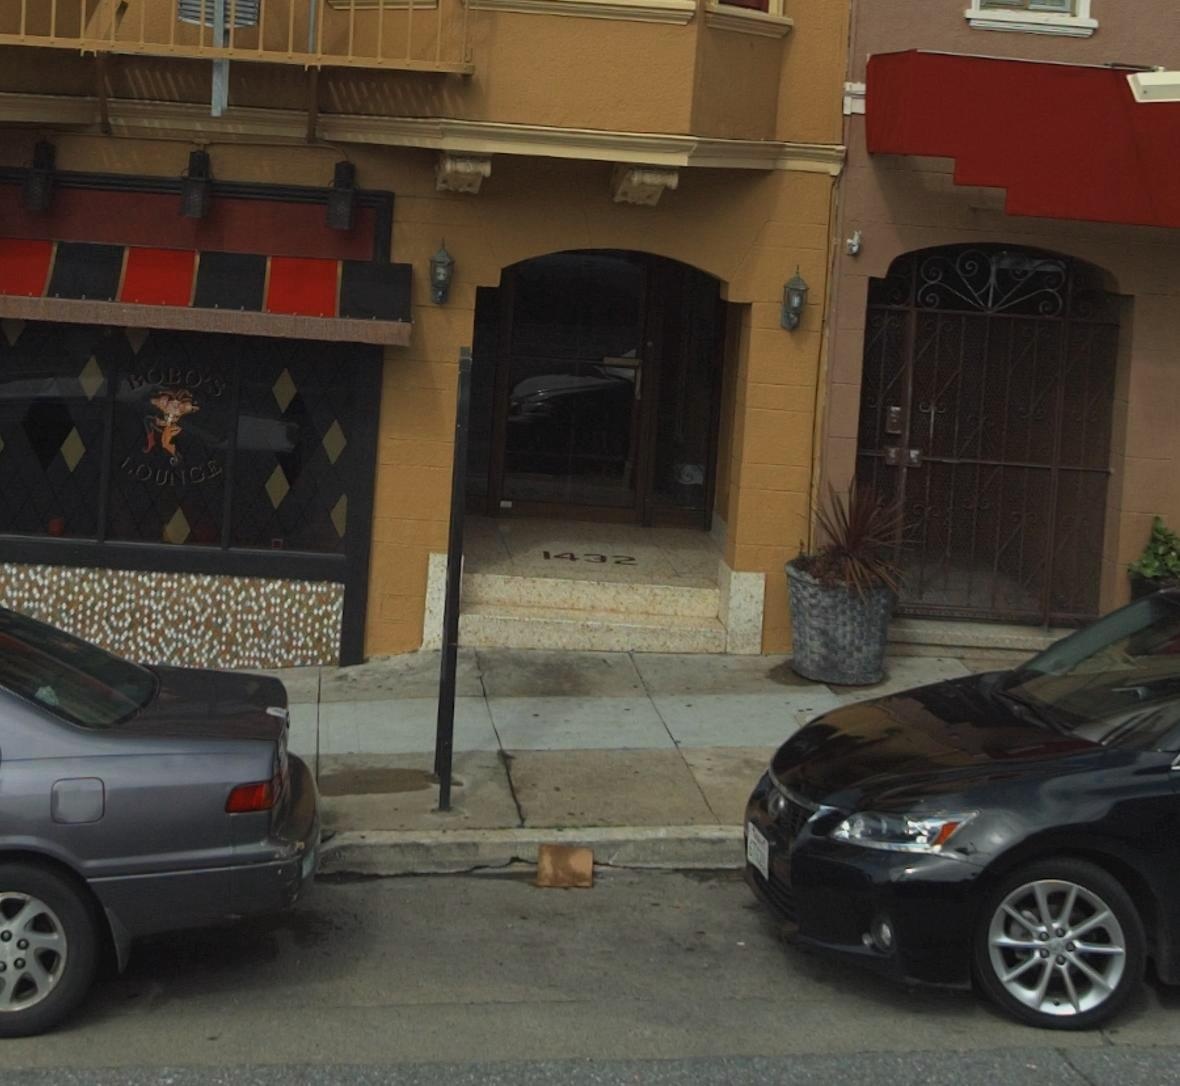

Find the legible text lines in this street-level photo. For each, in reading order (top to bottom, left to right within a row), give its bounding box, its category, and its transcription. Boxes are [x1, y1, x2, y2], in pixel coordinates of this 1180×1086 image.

[124, 366, 229, 399] BusinessName: BOBO'S
[119, 456, 225, 487] BusinessName: LOUNGE
[541, 550, 639, 566] StreetNumber: 1432